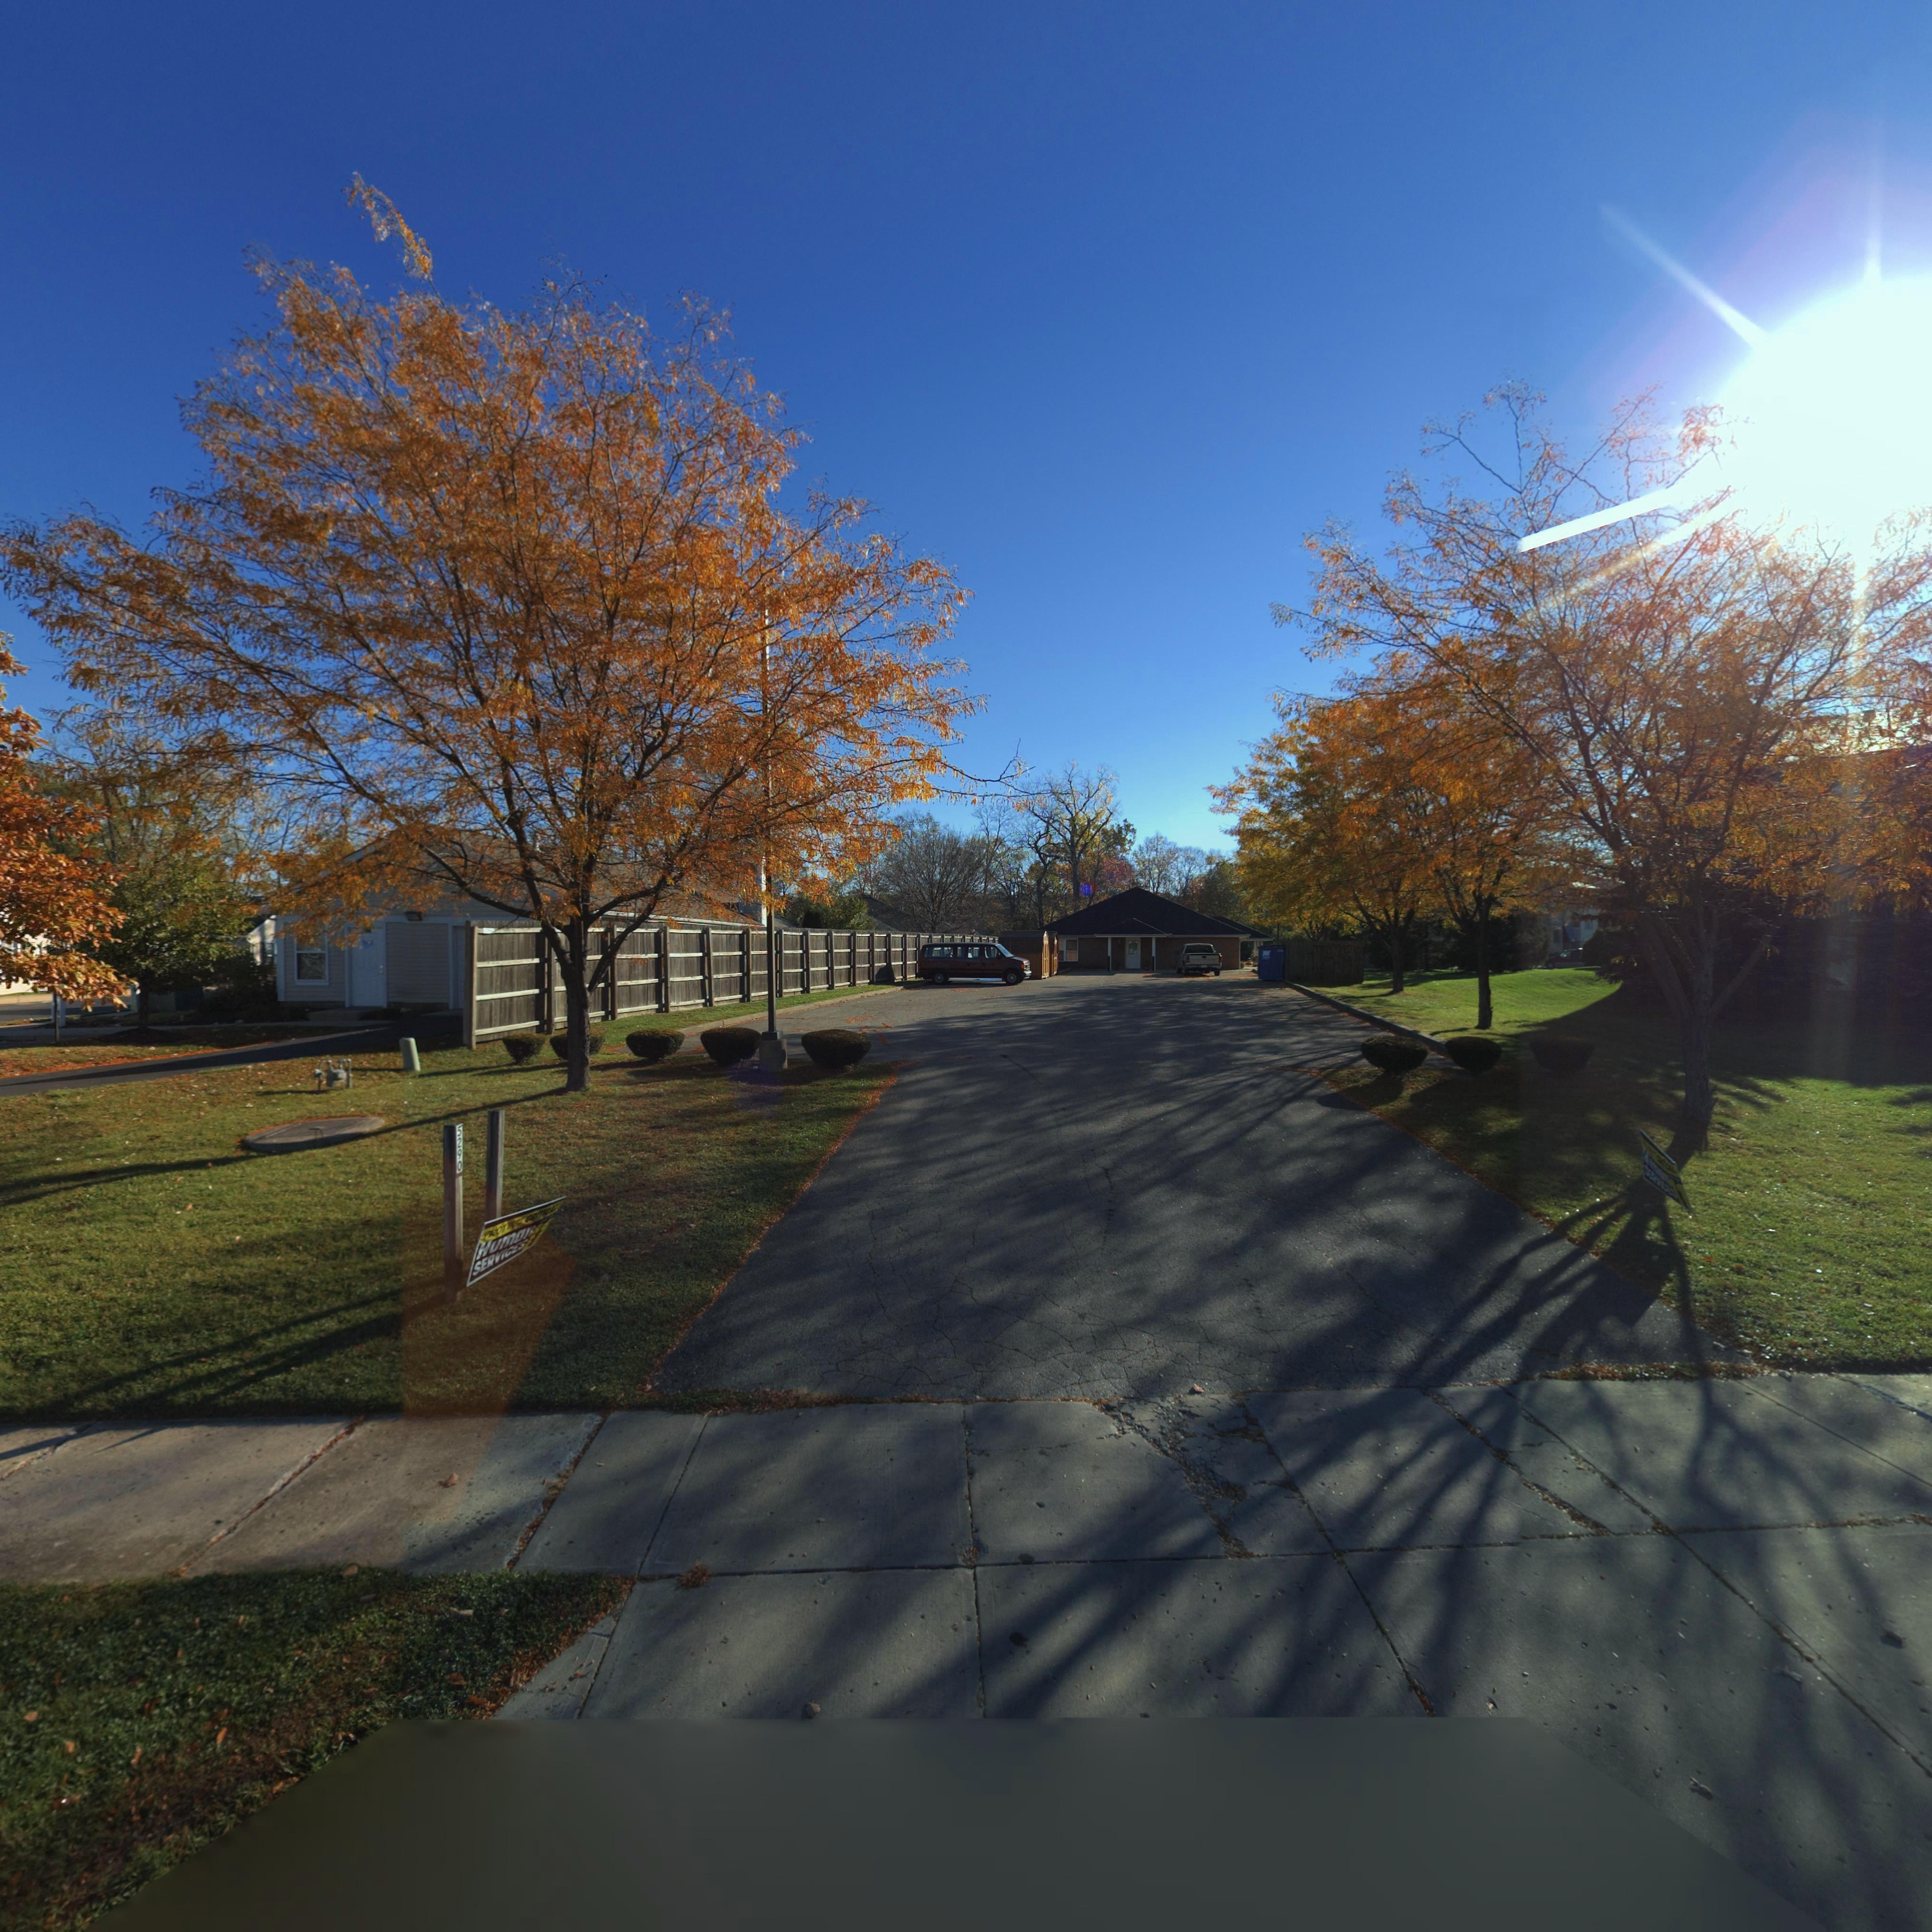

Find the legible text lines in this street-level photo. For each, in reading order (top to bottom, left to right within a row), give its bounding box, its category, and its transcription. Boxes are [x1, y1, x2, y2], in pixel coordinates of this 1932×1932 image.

[456, 1123, 463, 1174] StreetNumber: 5290